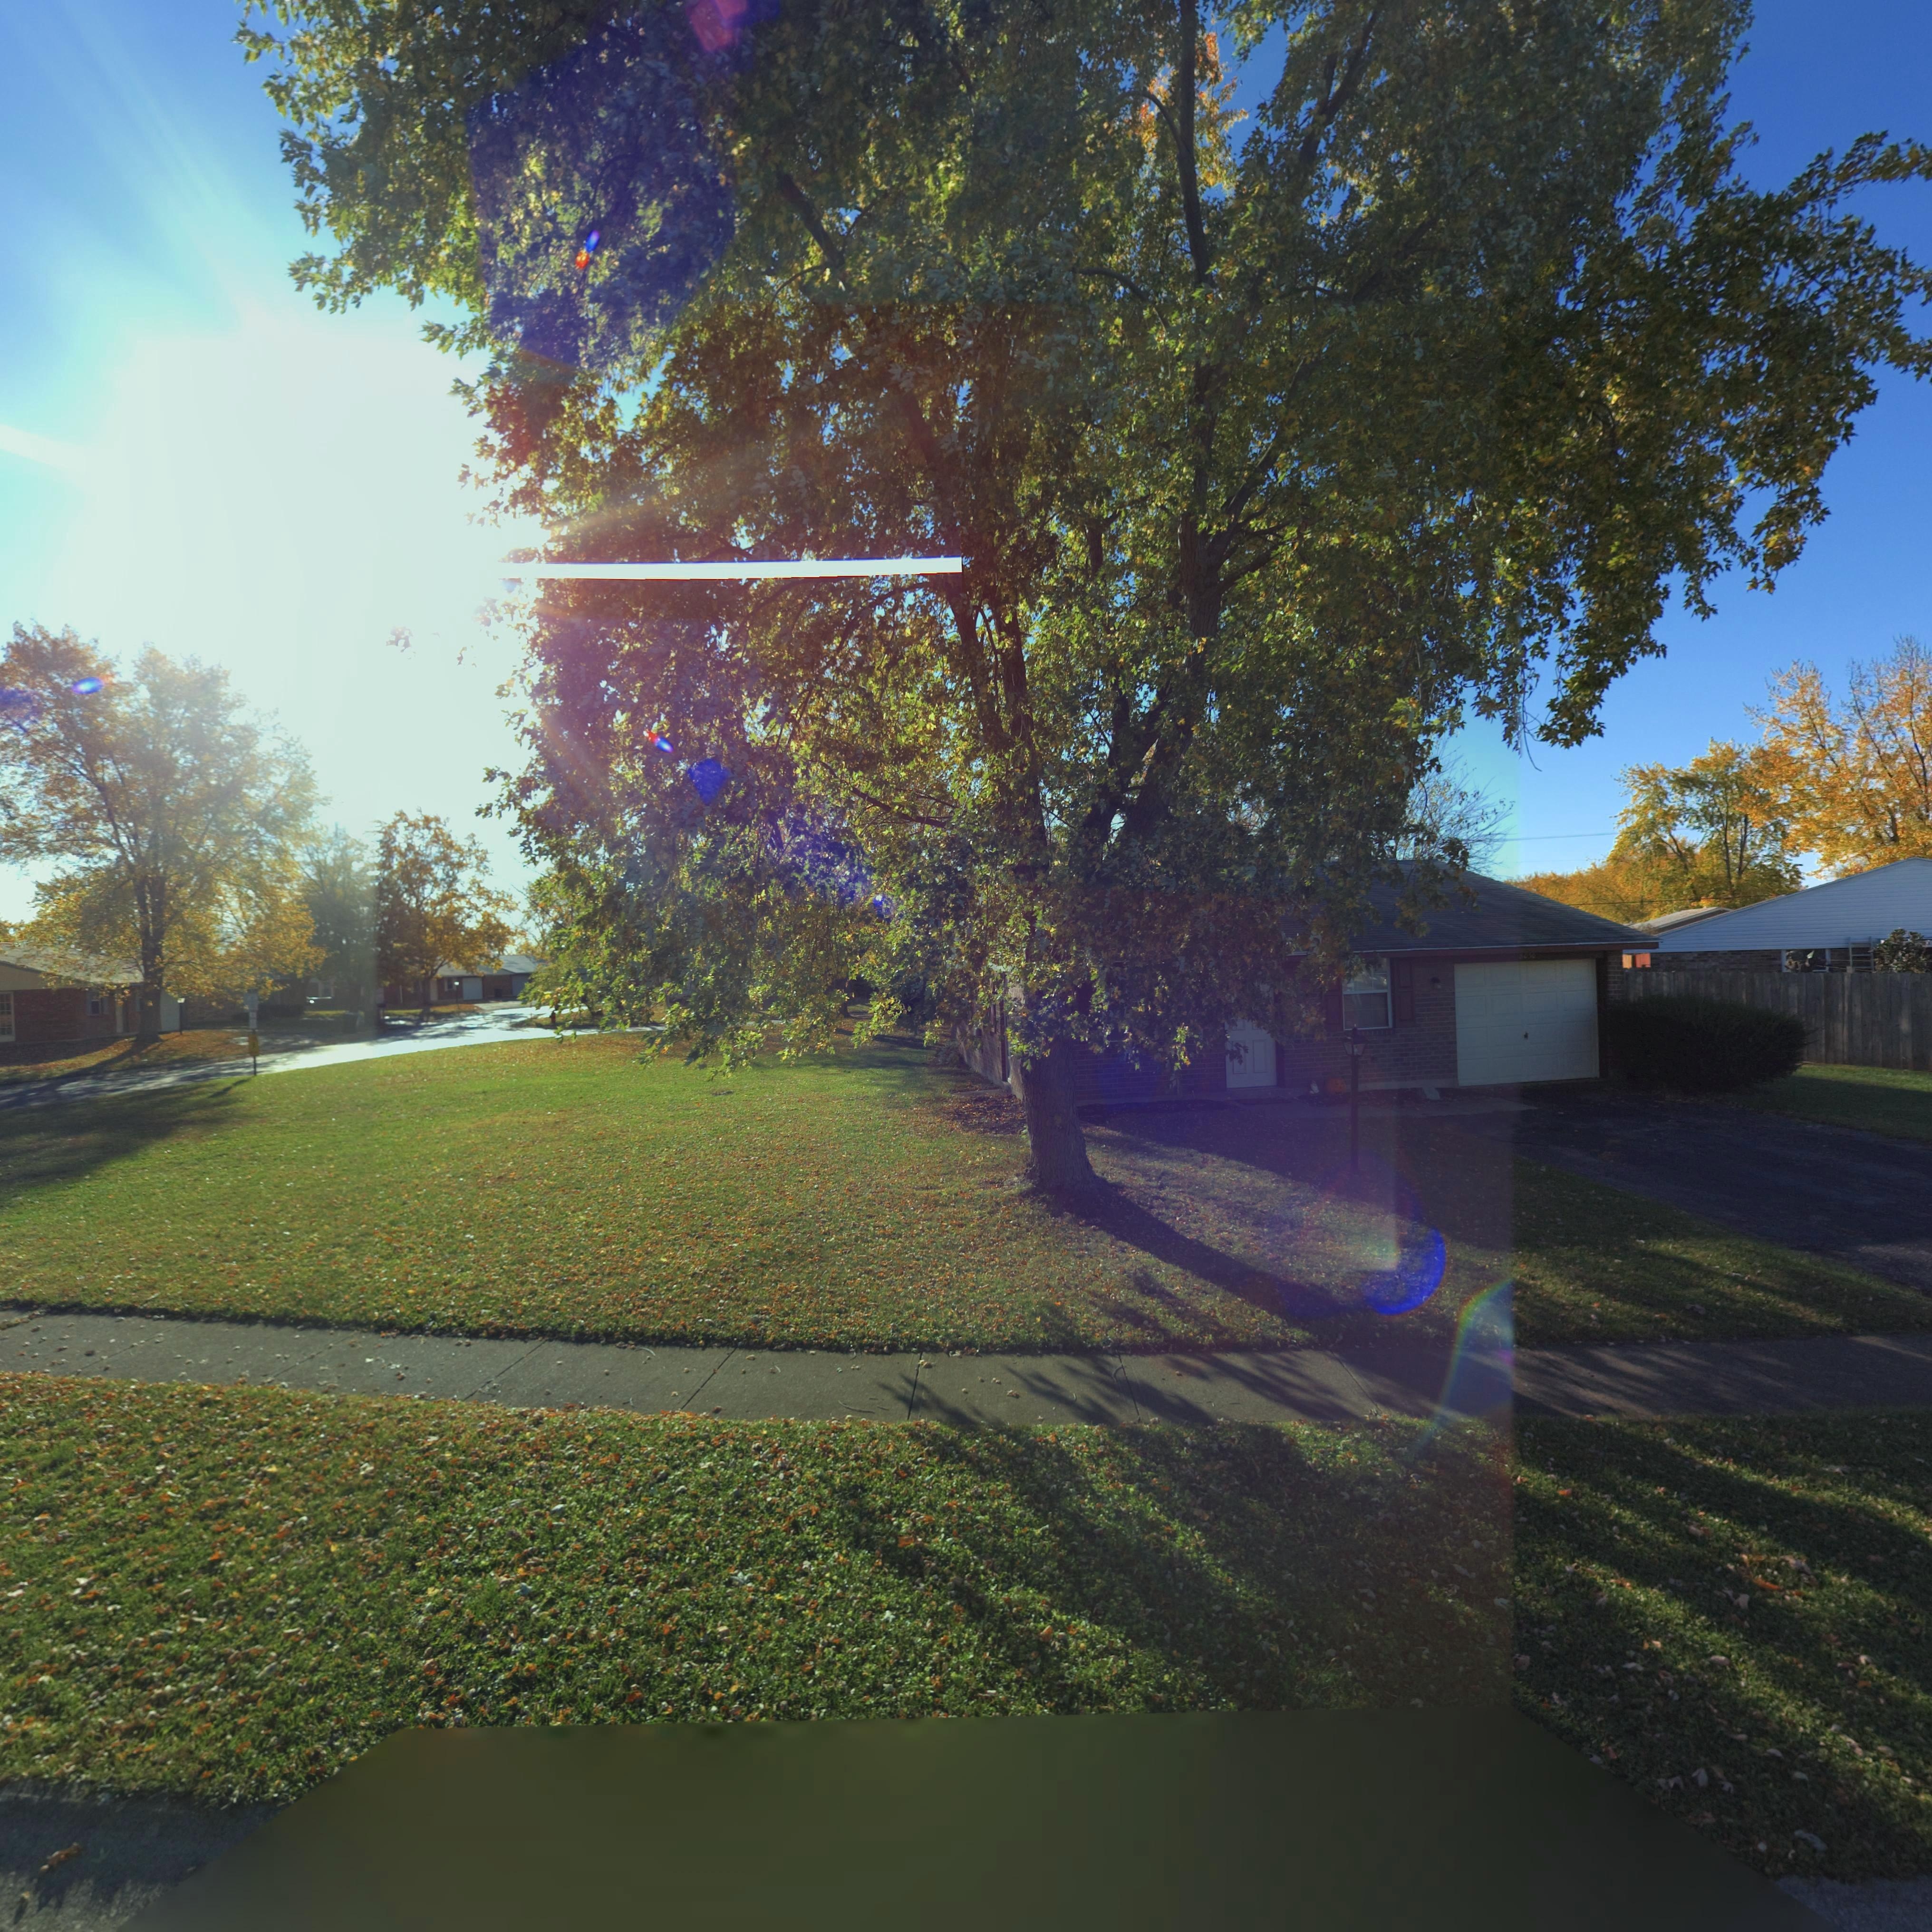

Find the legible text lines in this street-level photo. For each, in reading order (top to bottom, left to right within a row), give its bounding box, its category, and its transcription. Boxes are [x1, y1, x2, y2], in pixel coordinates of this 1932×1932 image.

[1518, 952, 1537, 960] StreetNumber: 8030